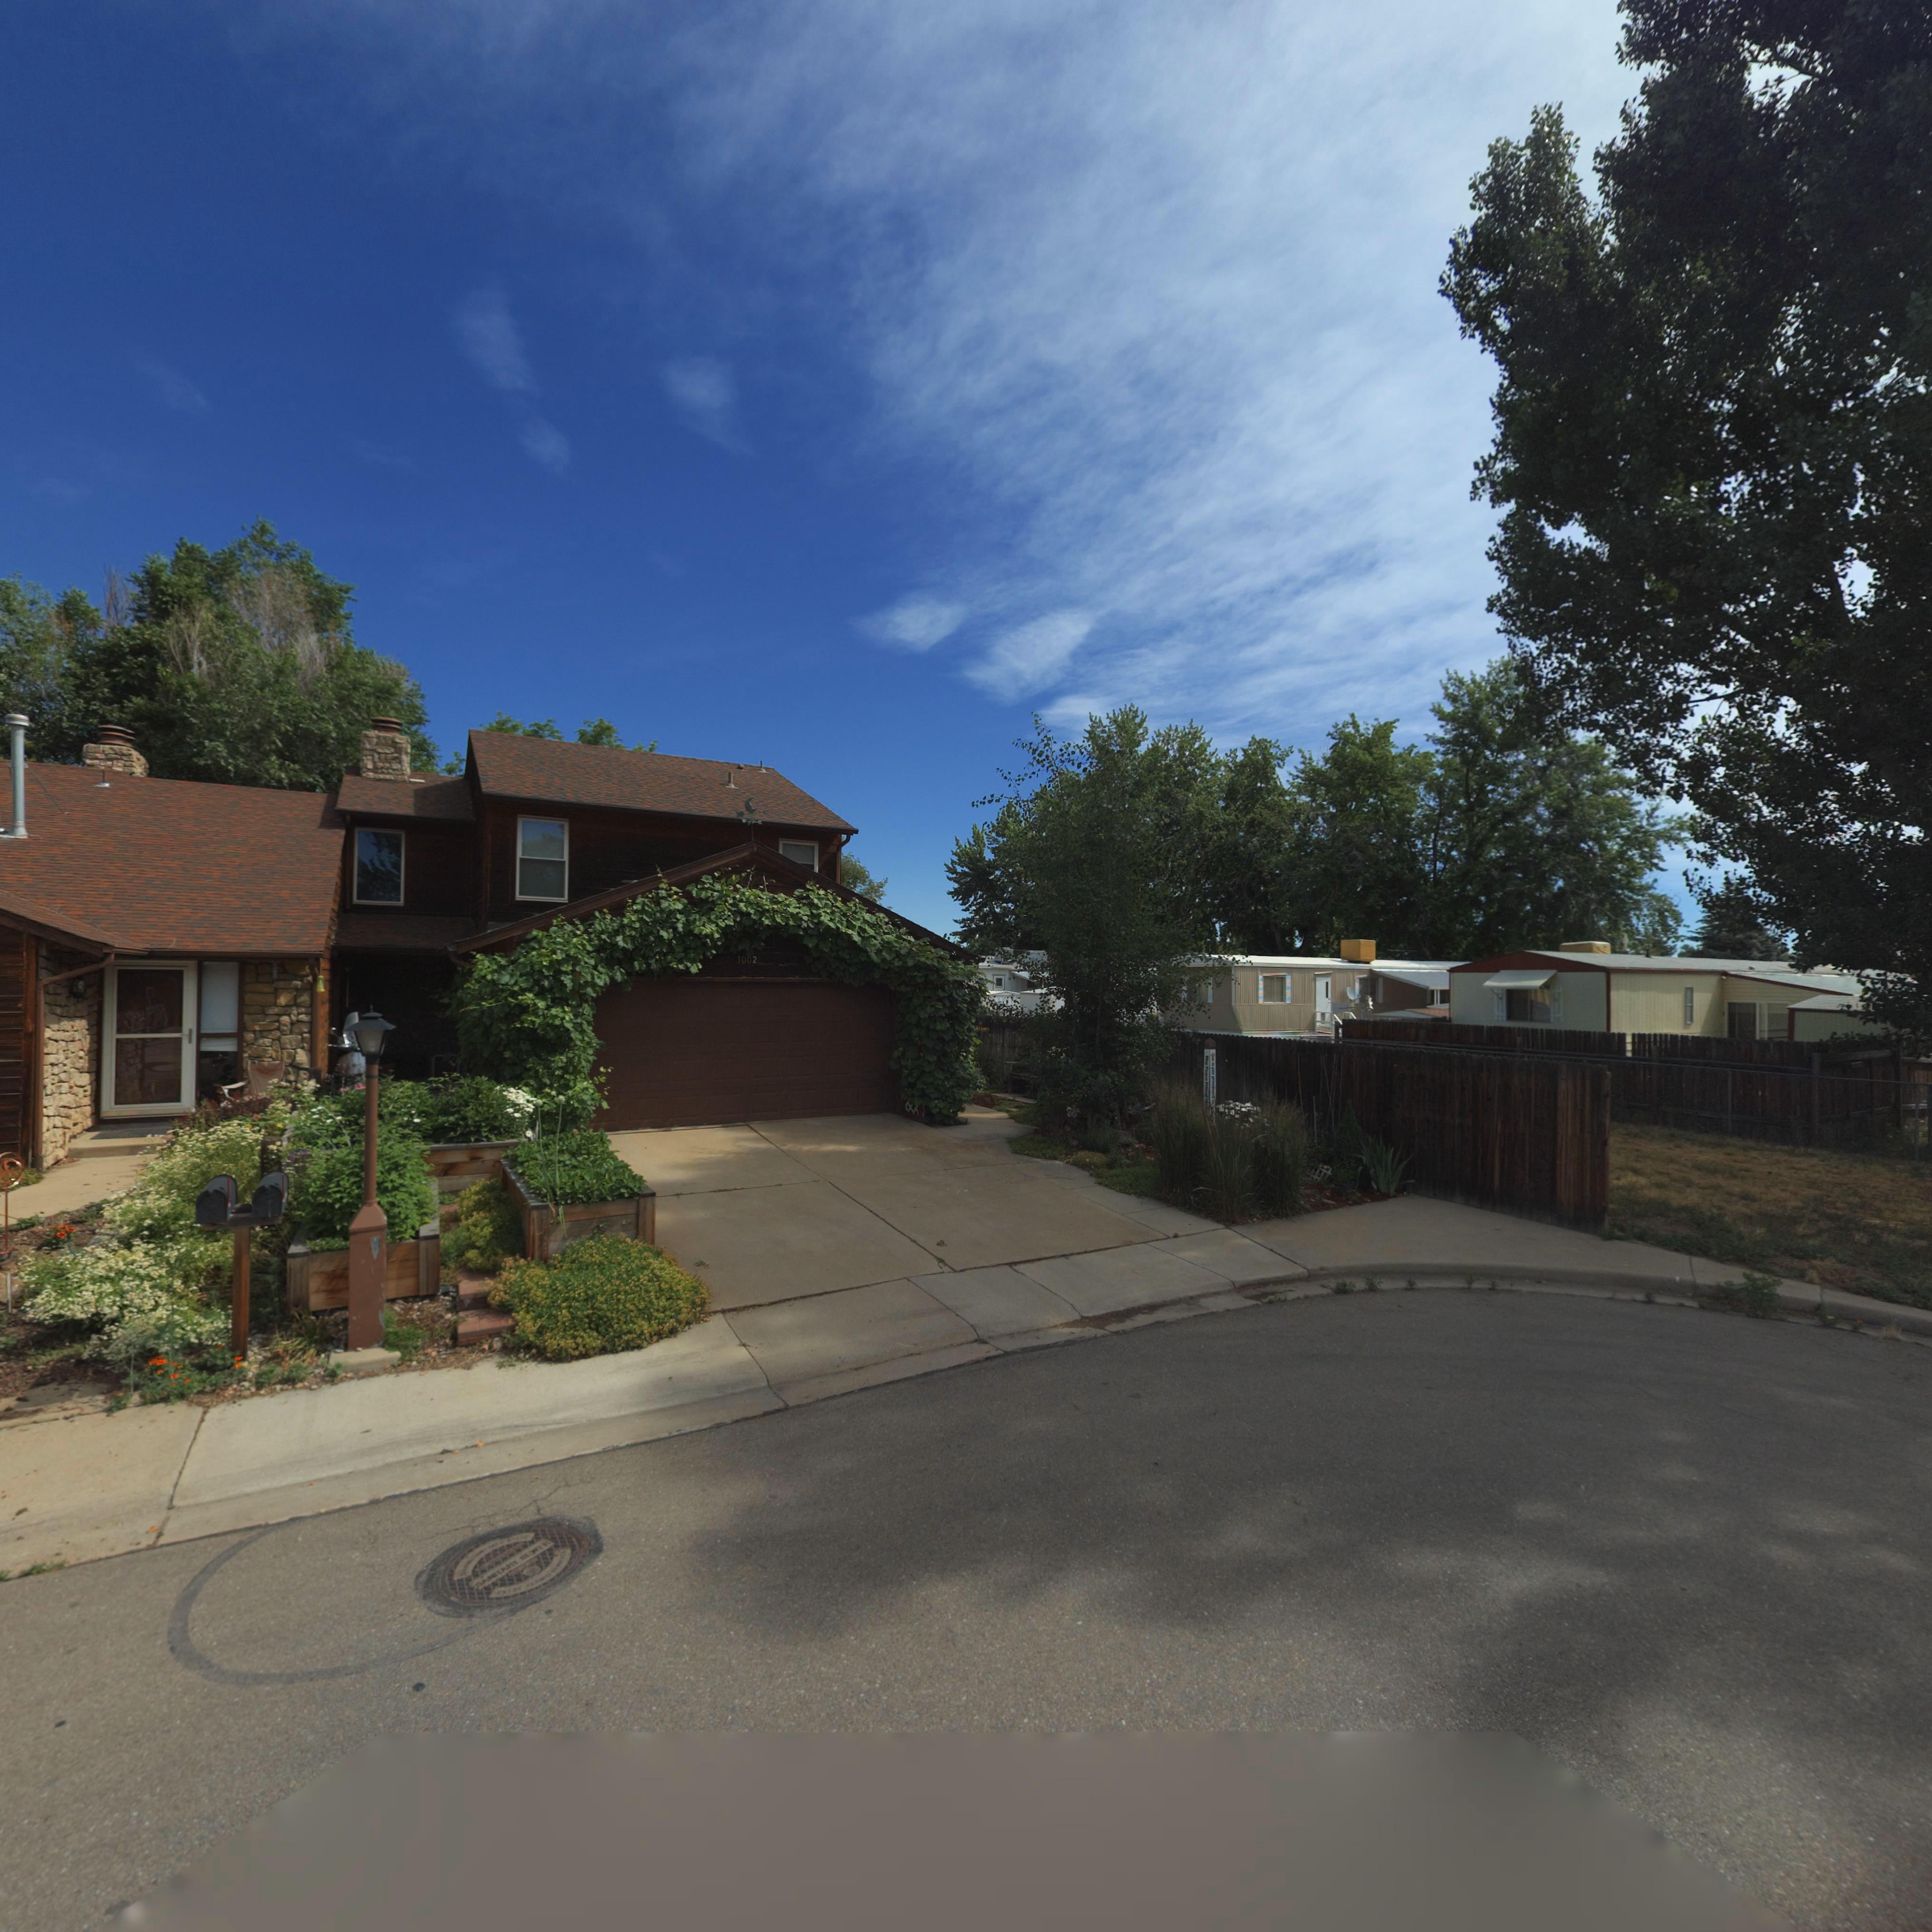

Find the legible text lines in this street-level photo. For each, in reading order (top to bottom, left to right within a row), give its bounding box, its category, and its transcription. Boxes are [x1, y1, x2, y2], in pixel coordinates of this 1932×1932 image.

[737, 956, 757, 964] StreetNumber: 1002